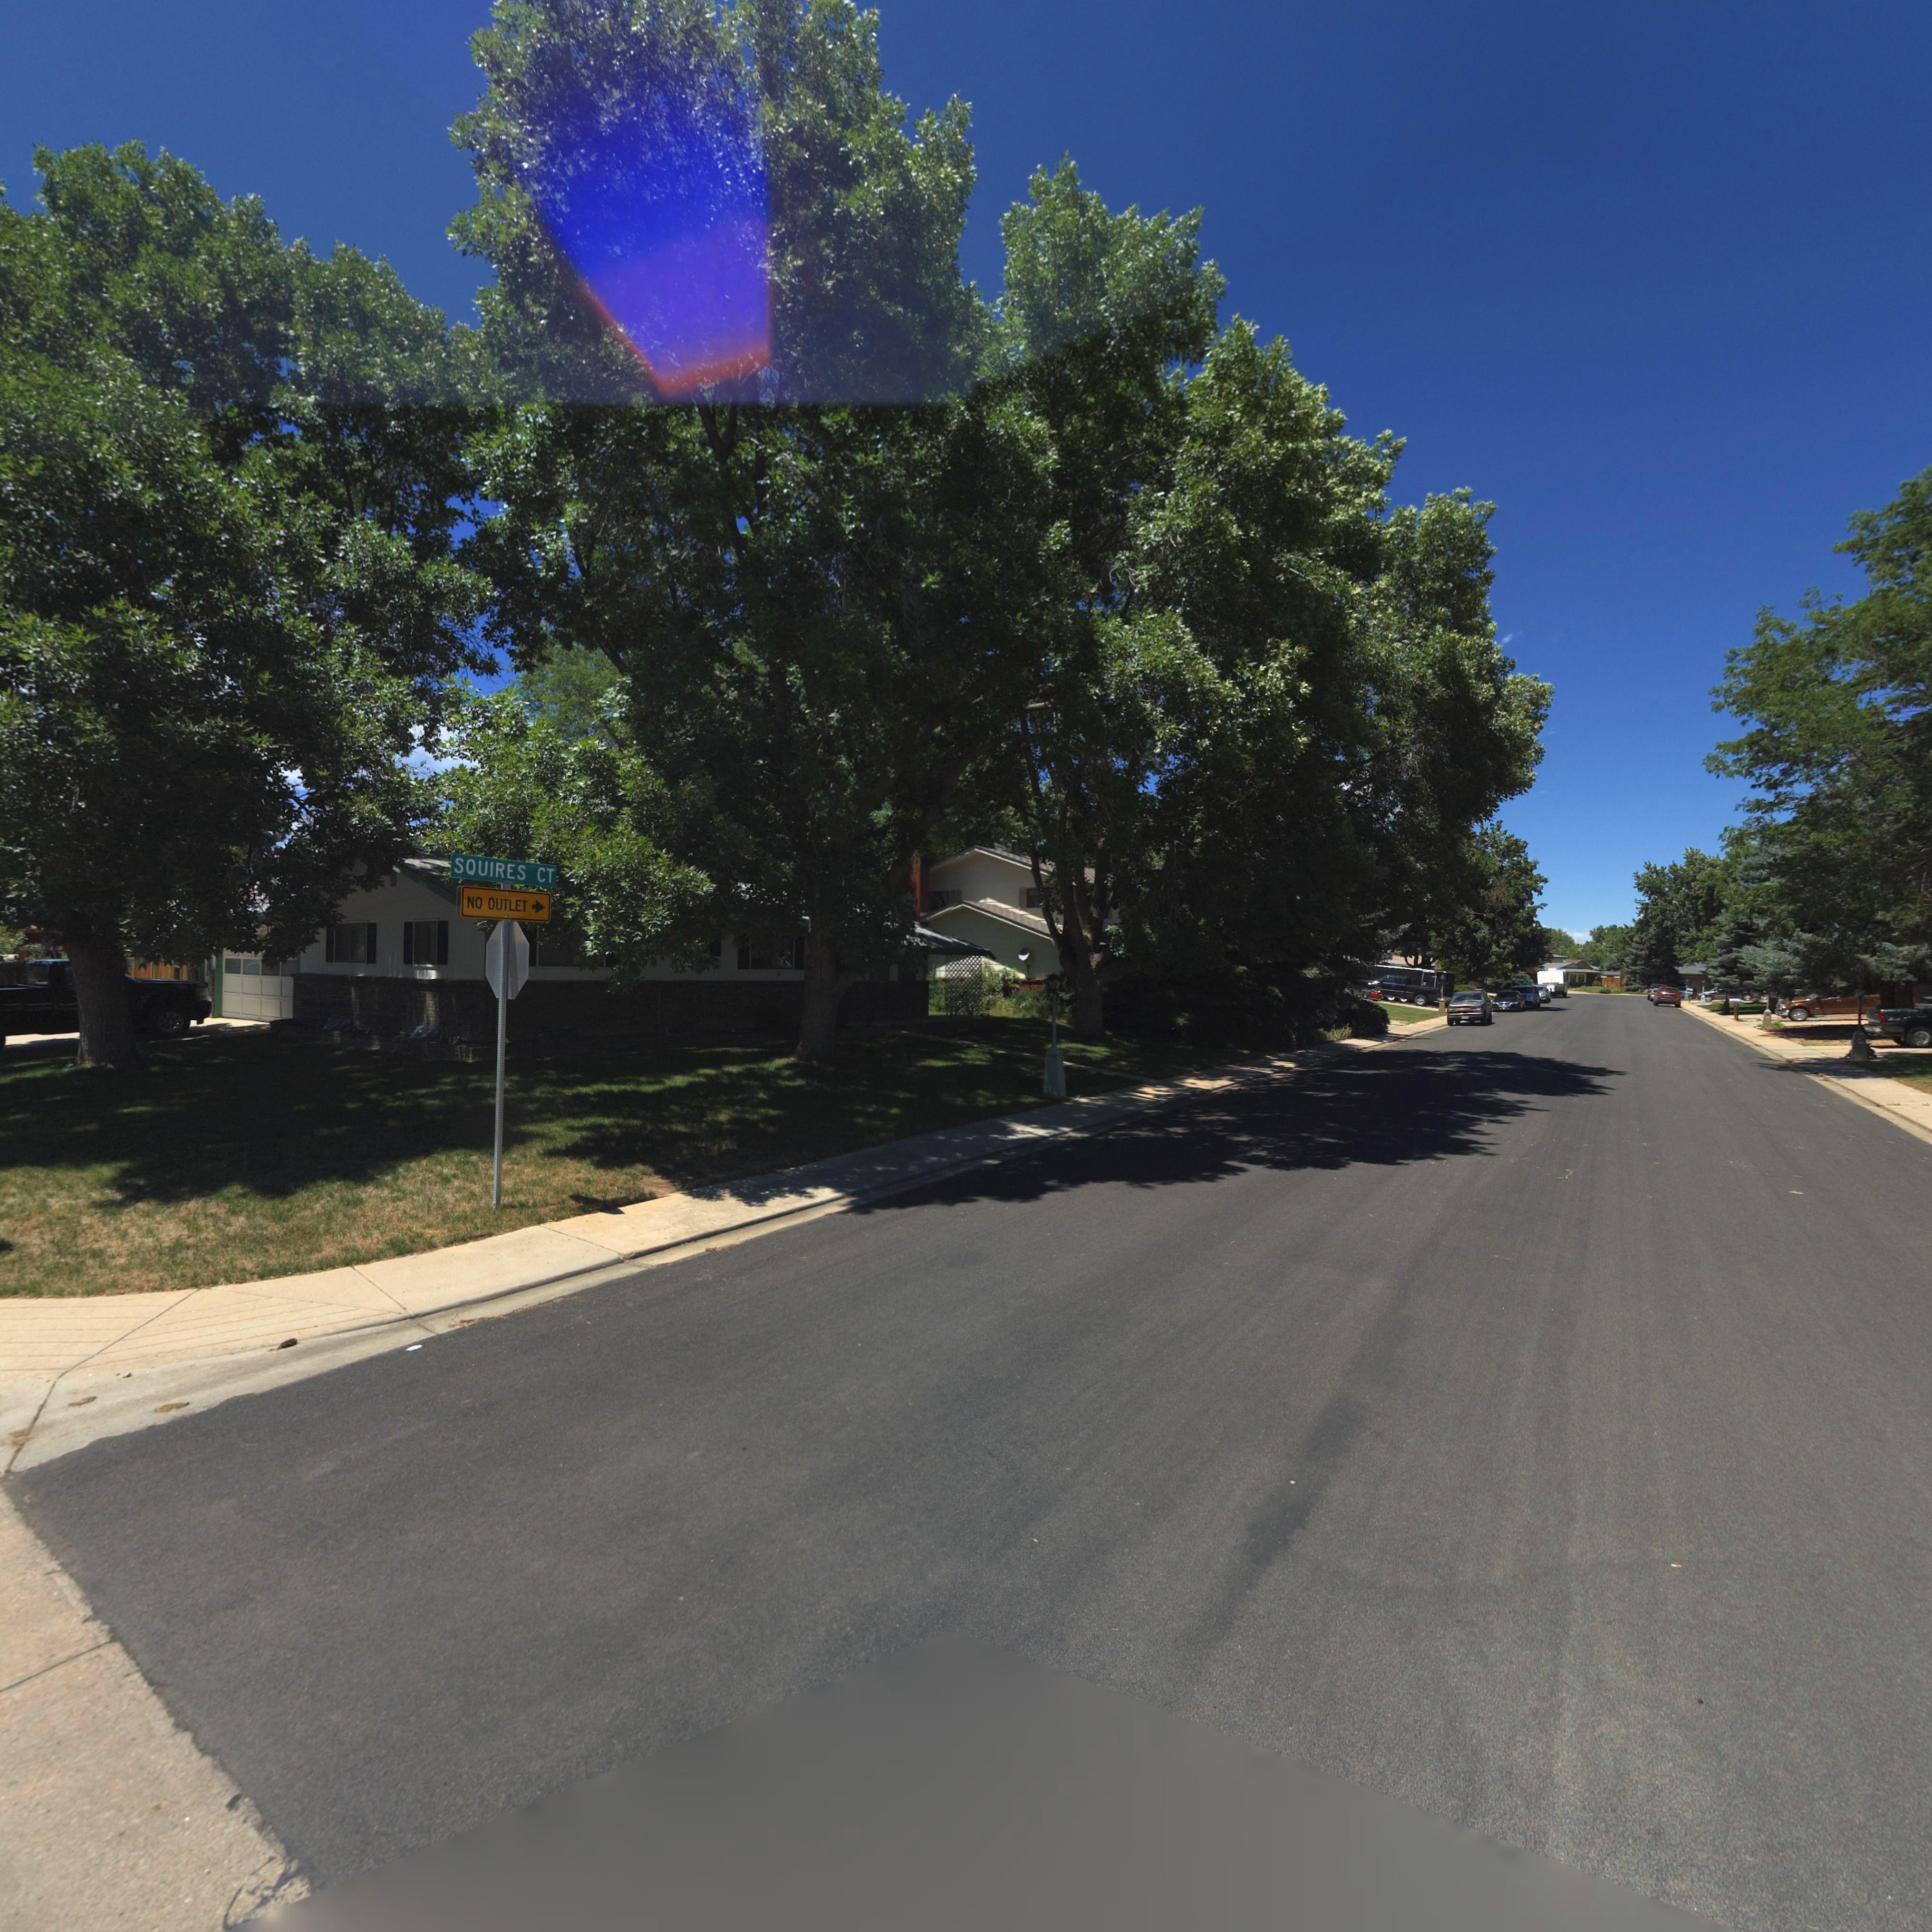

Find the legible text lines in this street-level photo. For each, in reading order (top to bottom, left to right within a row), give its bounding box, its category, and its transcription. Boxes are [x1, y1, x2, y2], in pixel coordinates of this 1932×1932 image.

[453, 856, 555, 884] StreetName: SQUIRES CT